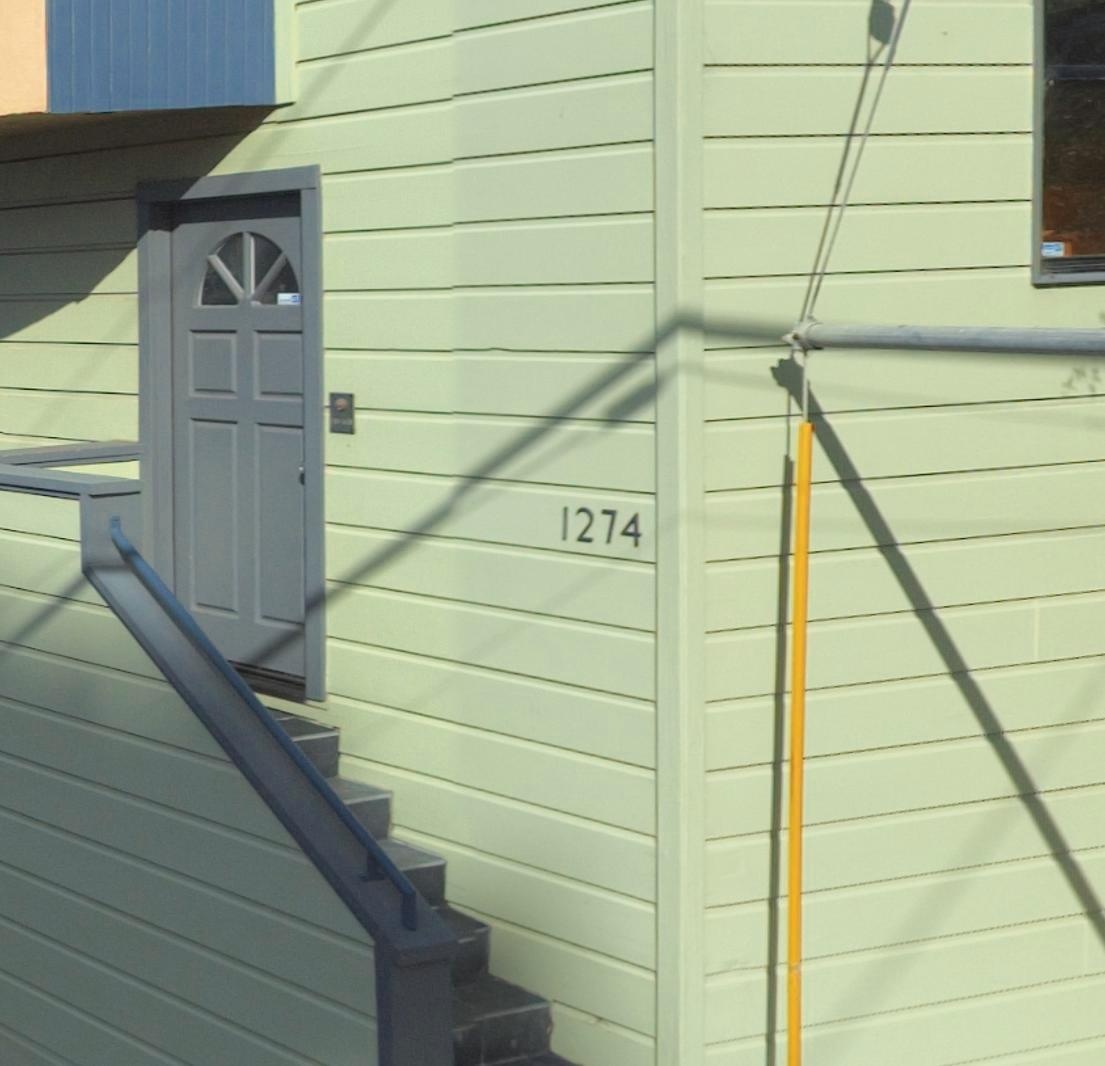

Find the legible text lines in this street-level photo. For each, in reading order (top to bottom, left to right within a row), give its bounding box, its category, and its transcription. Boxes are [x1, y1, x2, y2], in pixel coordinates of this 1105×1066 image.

[558, 504, 644, 548] StreetNumber: 1274